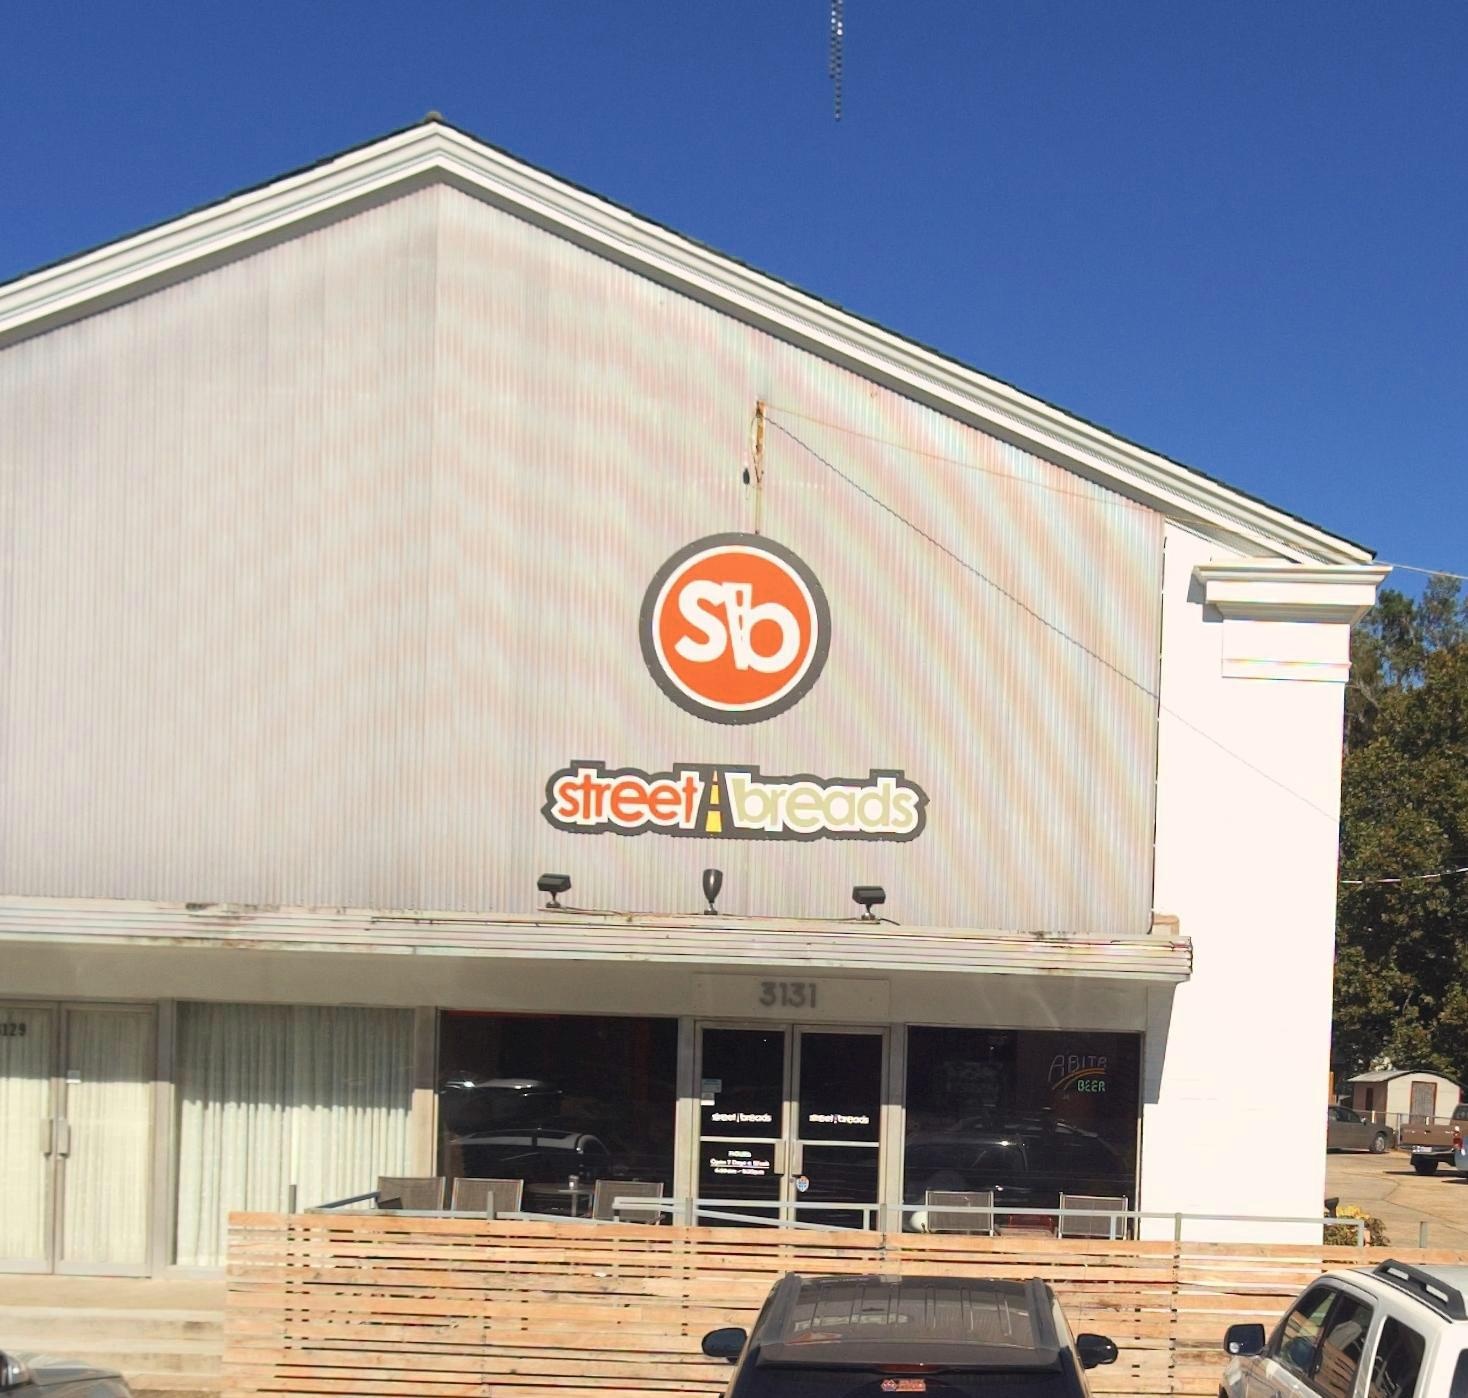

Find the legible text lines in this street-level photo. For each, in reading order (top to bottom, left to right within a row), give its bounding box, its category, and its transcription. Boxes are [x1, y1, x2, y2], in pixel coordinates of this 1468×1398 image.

[672, 578, 803, 676] None: Sb
[557, 772, 914, 829] BusinessName: street breads
[757, 979, 819, 1011] StreetNumber: 3131
[0, 1020, 29, 1038] StreetNumber: 129
[1045, 1053, 1108, 1084] None: ABITA
[1076, 1079, 1108, 1094] None: BEER